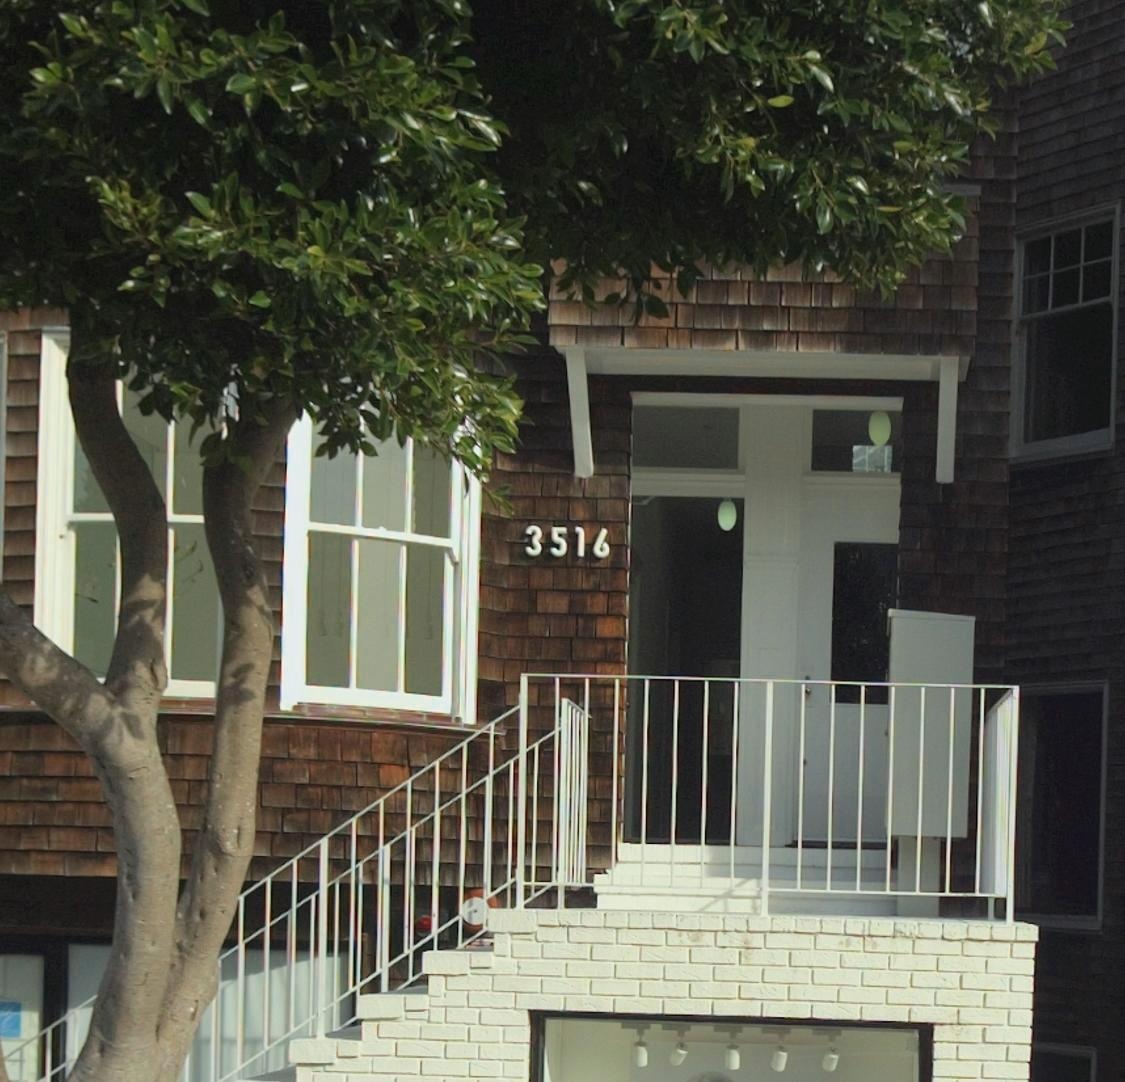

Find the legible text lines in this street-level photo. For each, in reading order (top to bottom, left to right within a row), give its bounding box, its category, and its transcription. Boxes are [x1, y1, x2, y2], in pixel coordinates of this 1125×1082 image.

[522, 522, 612, 560] StreetNumber: 3516